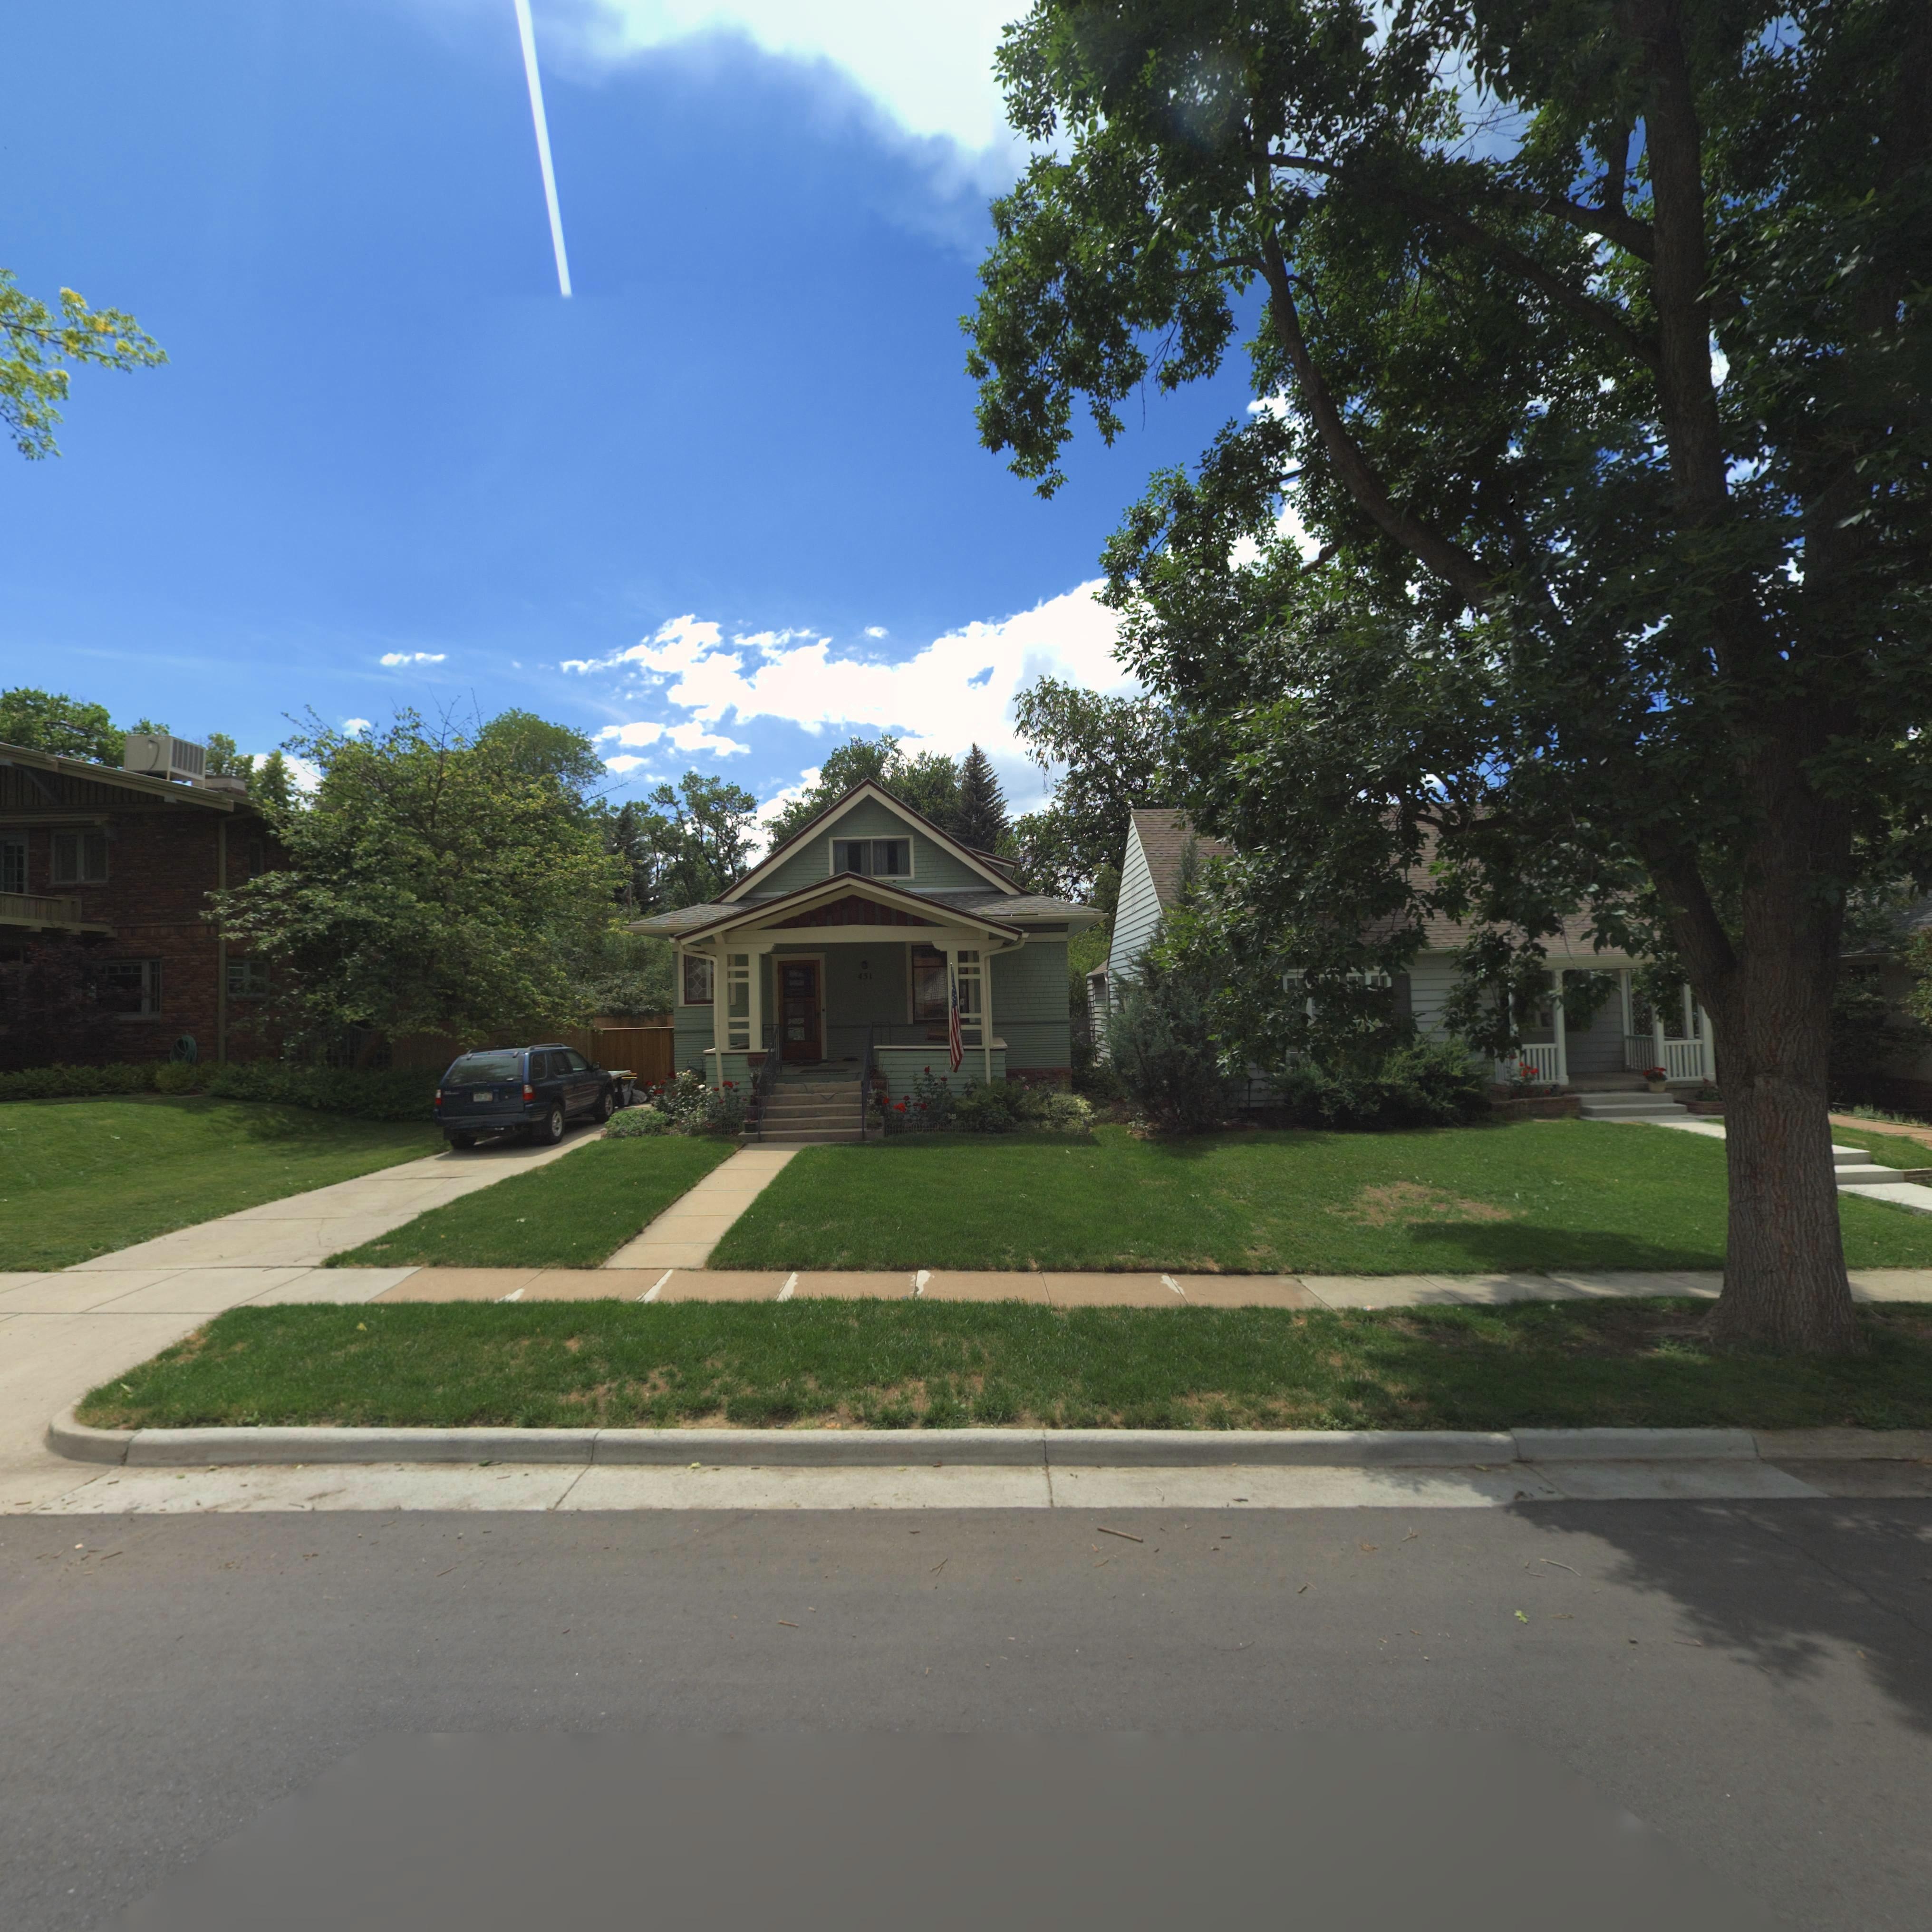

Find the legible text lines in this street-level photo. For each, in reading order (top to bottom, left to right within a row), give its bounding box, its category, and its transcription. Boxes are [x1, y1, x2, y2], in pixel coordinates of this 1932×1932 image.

[858, 972, 872, 980] StreetNumber: 431